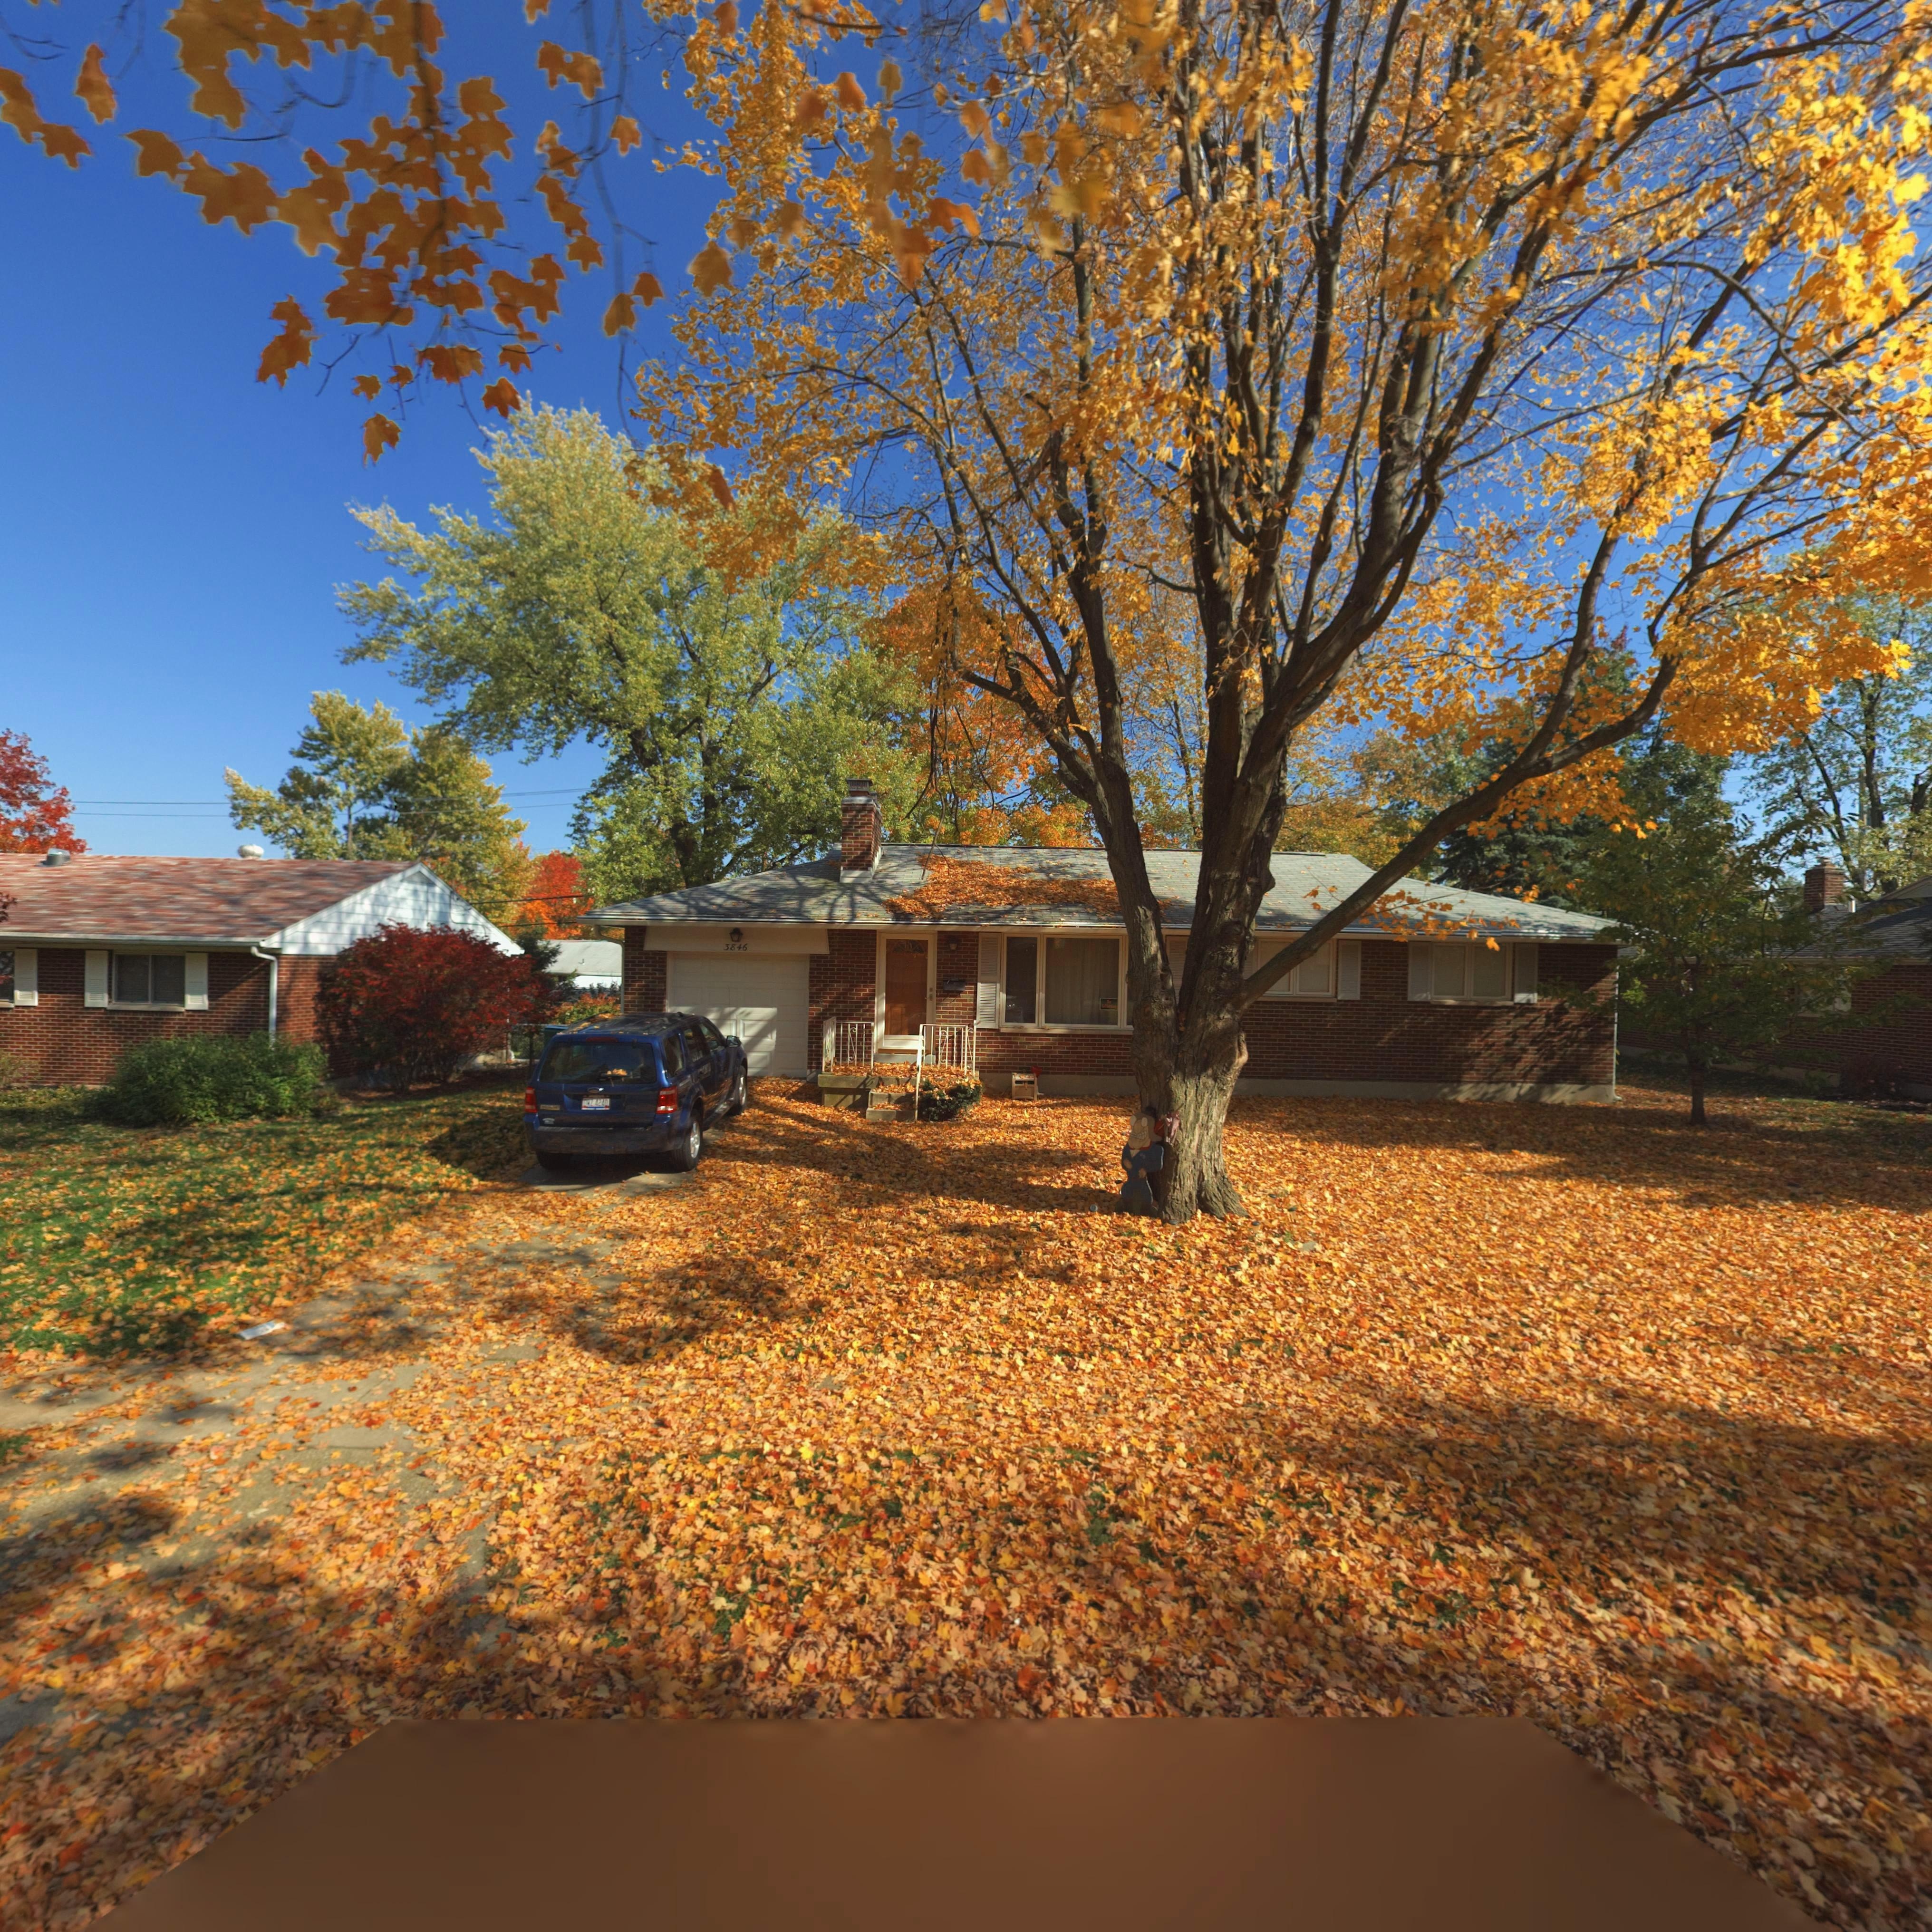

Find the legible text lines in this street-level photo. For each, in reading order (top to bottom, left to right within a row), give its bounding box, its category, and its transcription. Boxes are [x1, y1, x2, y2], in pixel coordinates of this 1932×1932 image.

[722, 942, 749, 952] StreetNumber: 3846
[593, 1097, 609, 1108] None: 4240